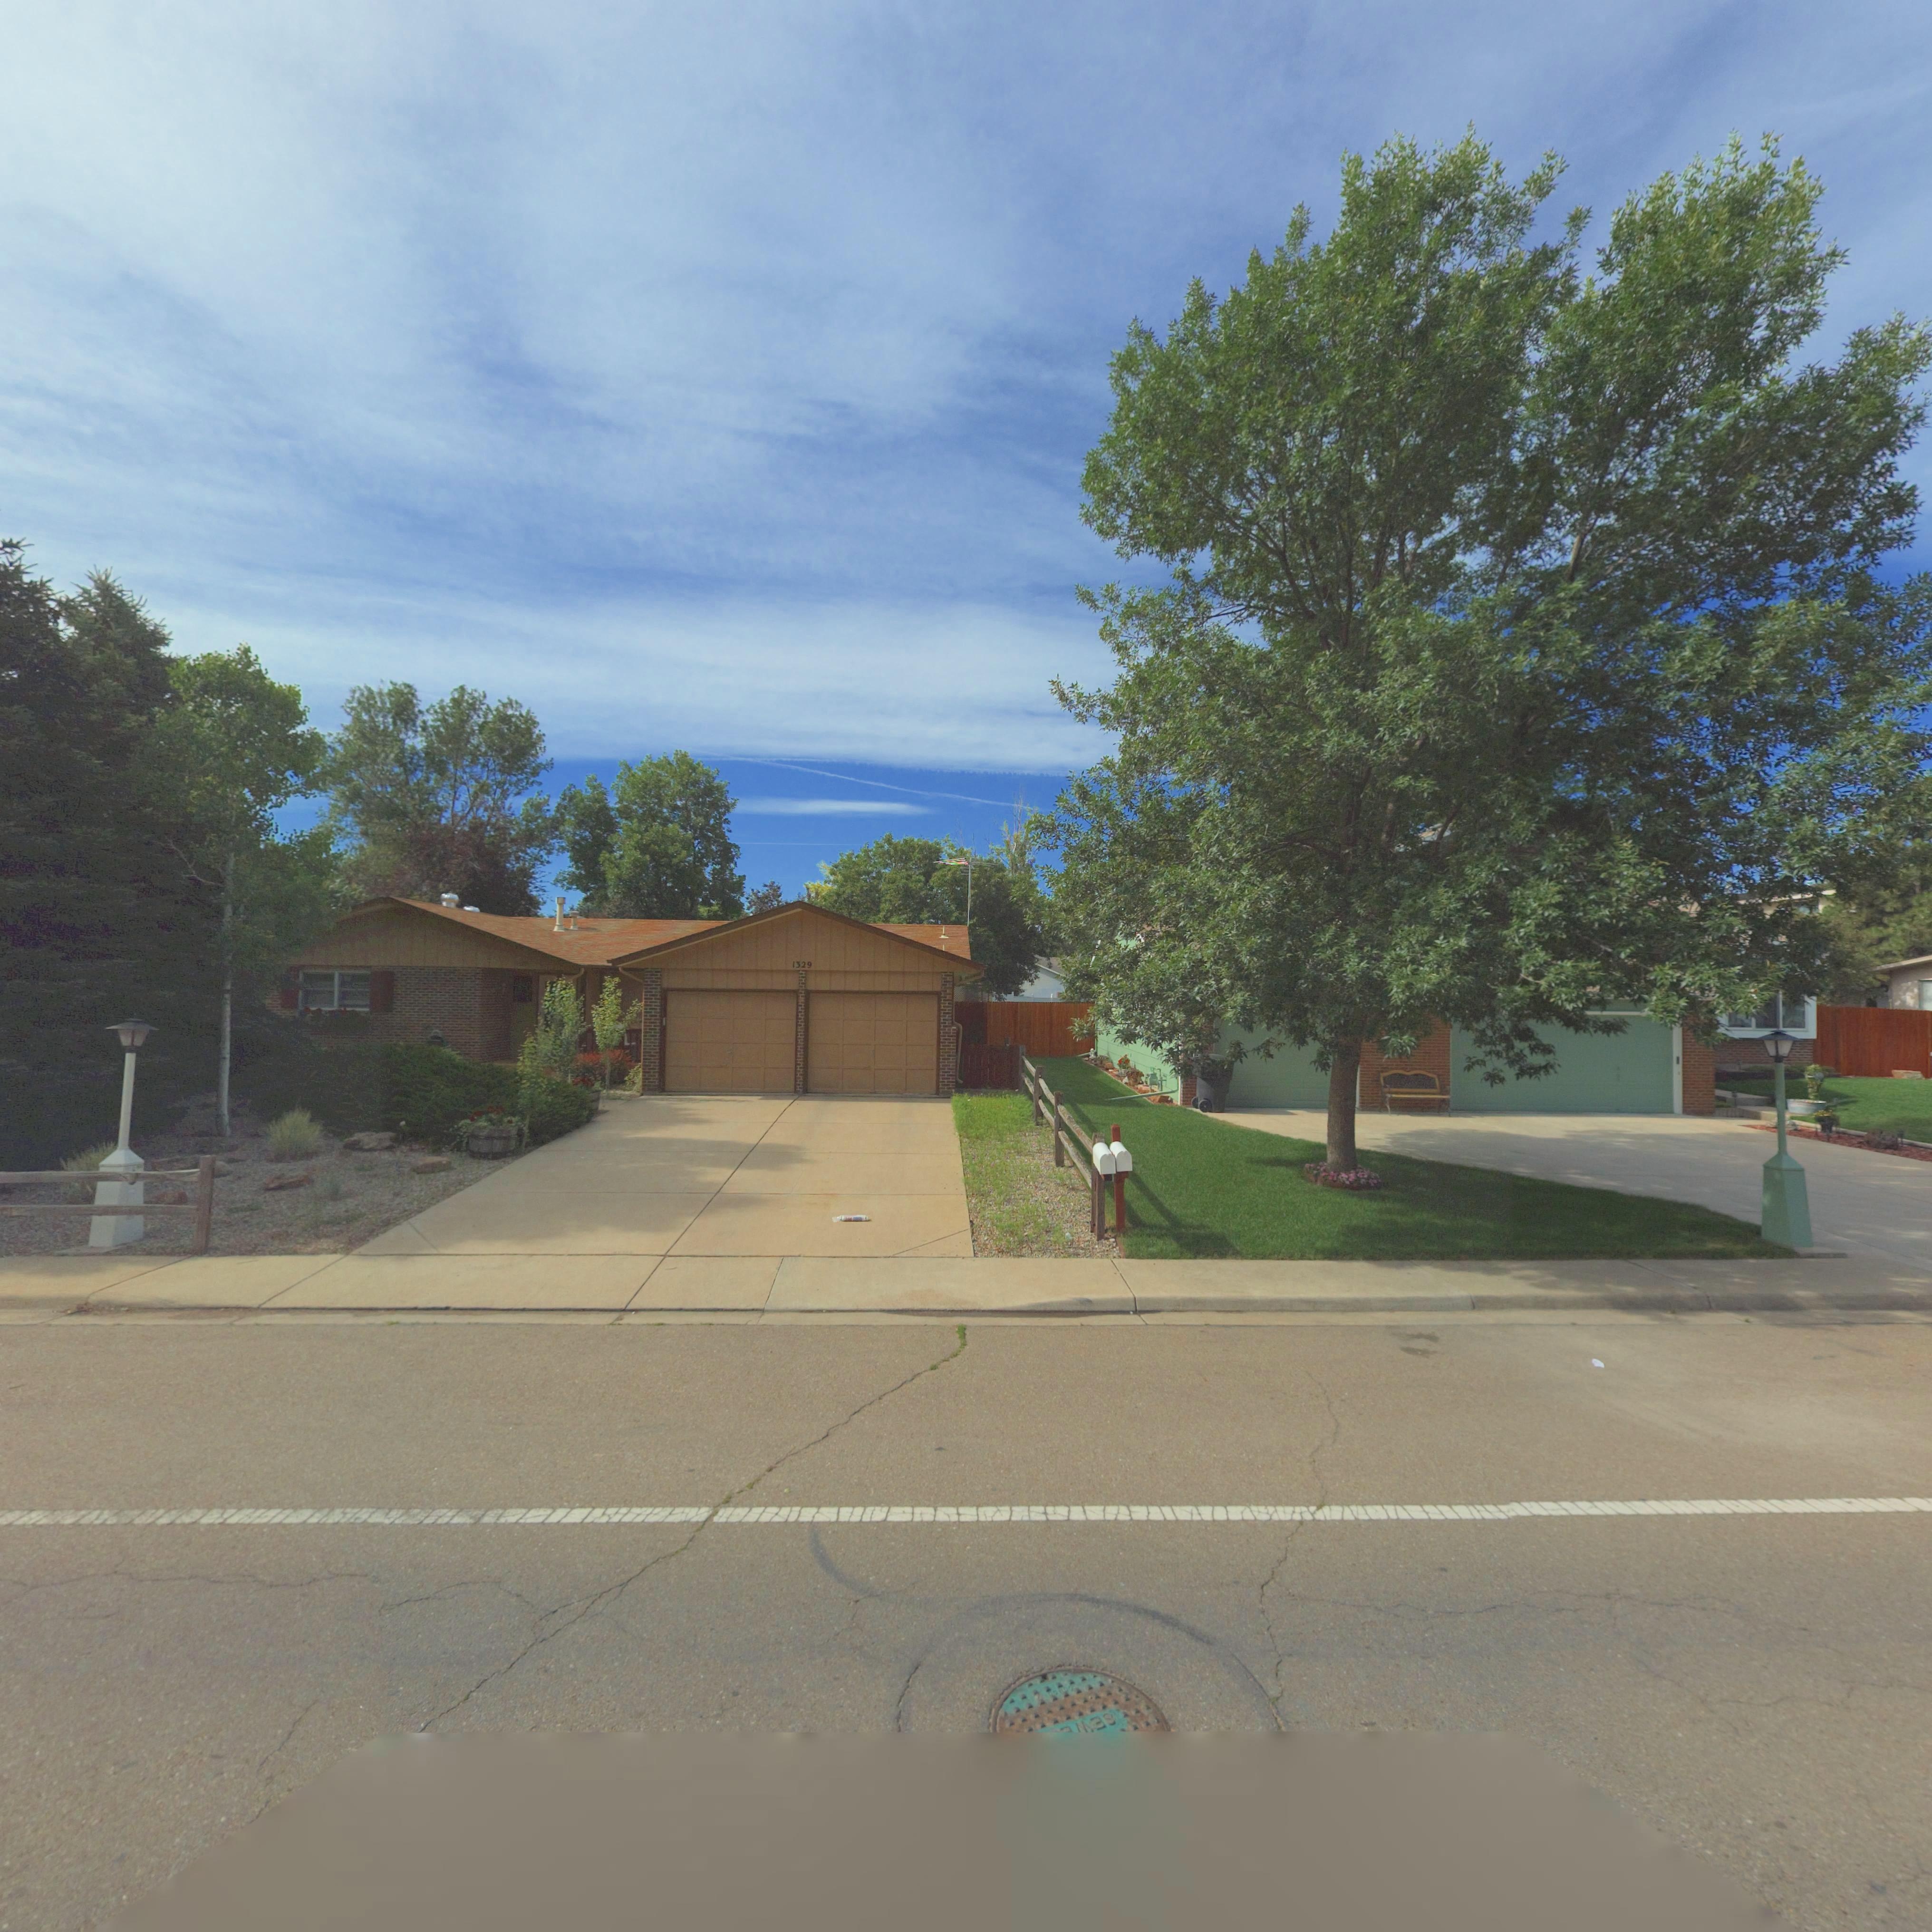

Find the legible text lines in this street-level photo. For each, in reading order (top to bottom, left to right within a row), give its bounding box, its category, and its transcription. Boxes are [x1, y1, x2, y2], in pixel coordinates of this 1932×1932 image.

[792, 960, 811, 968] StreetNumber: 1329